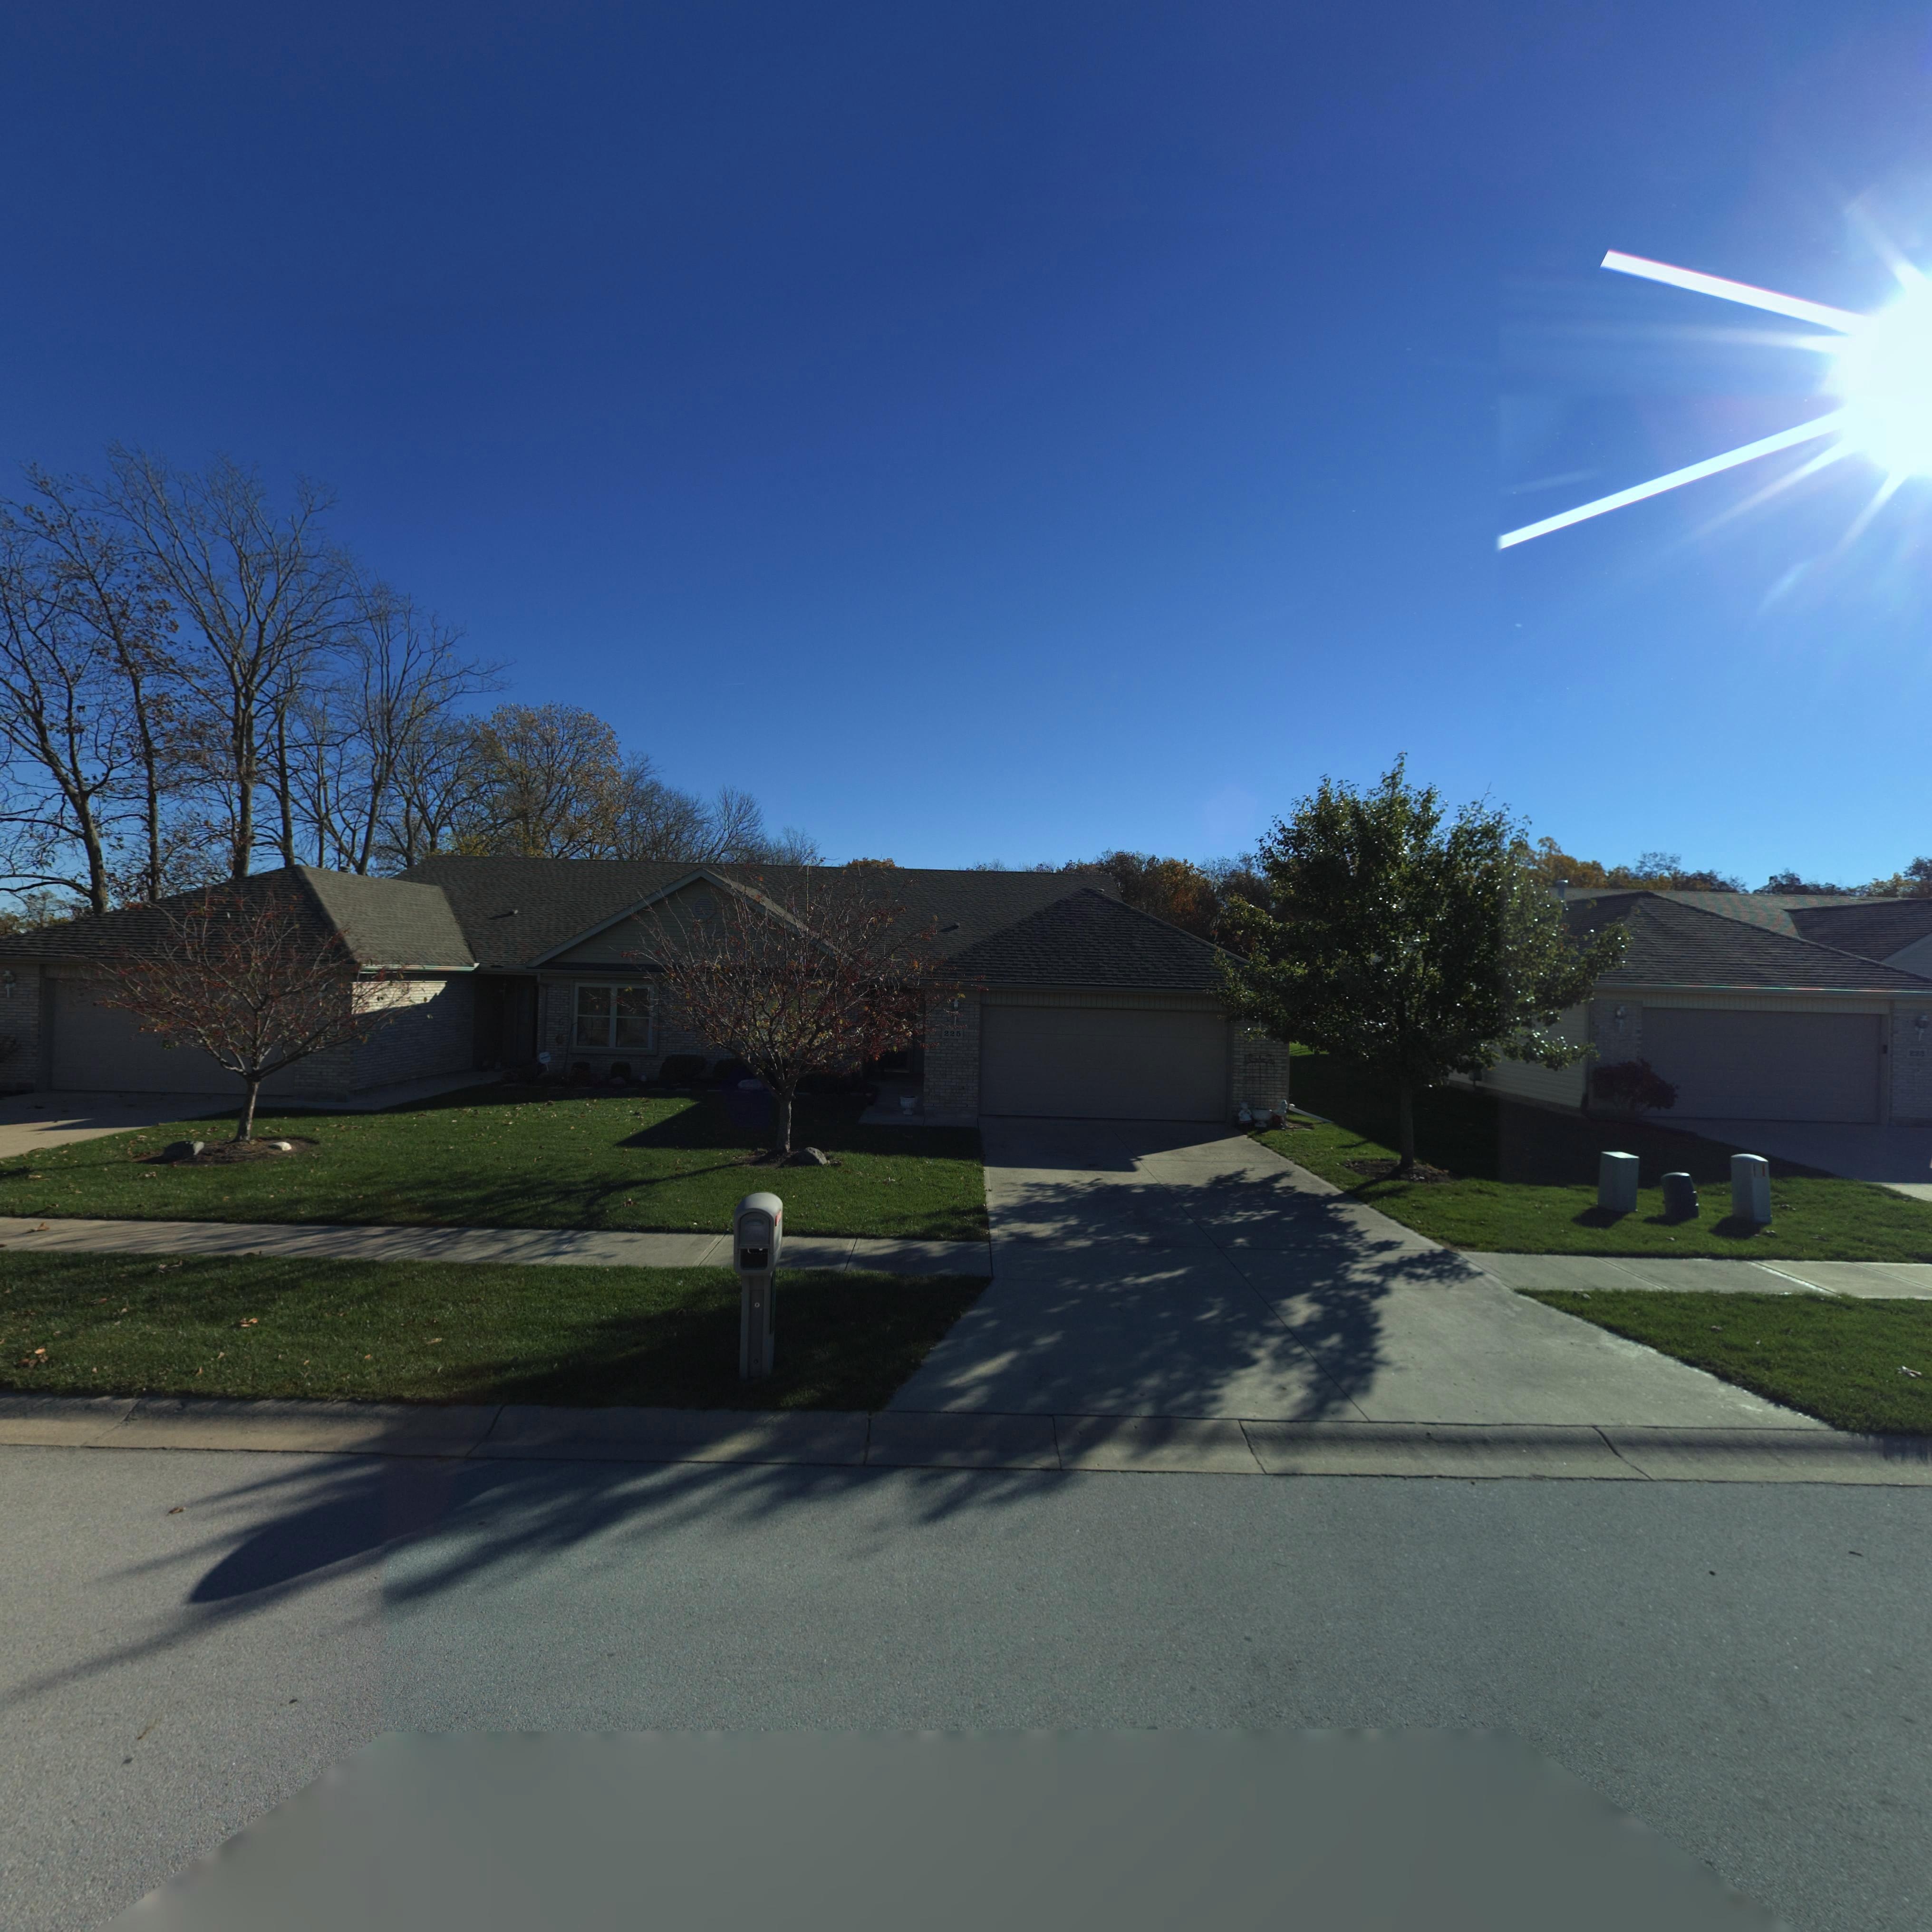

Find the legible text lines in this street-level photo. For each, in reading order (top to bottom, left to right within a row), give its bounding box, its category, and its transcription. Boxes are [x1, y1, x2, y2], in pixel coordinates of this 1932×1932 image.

[942, 1029, 964, 1038] StreetNumber: 225